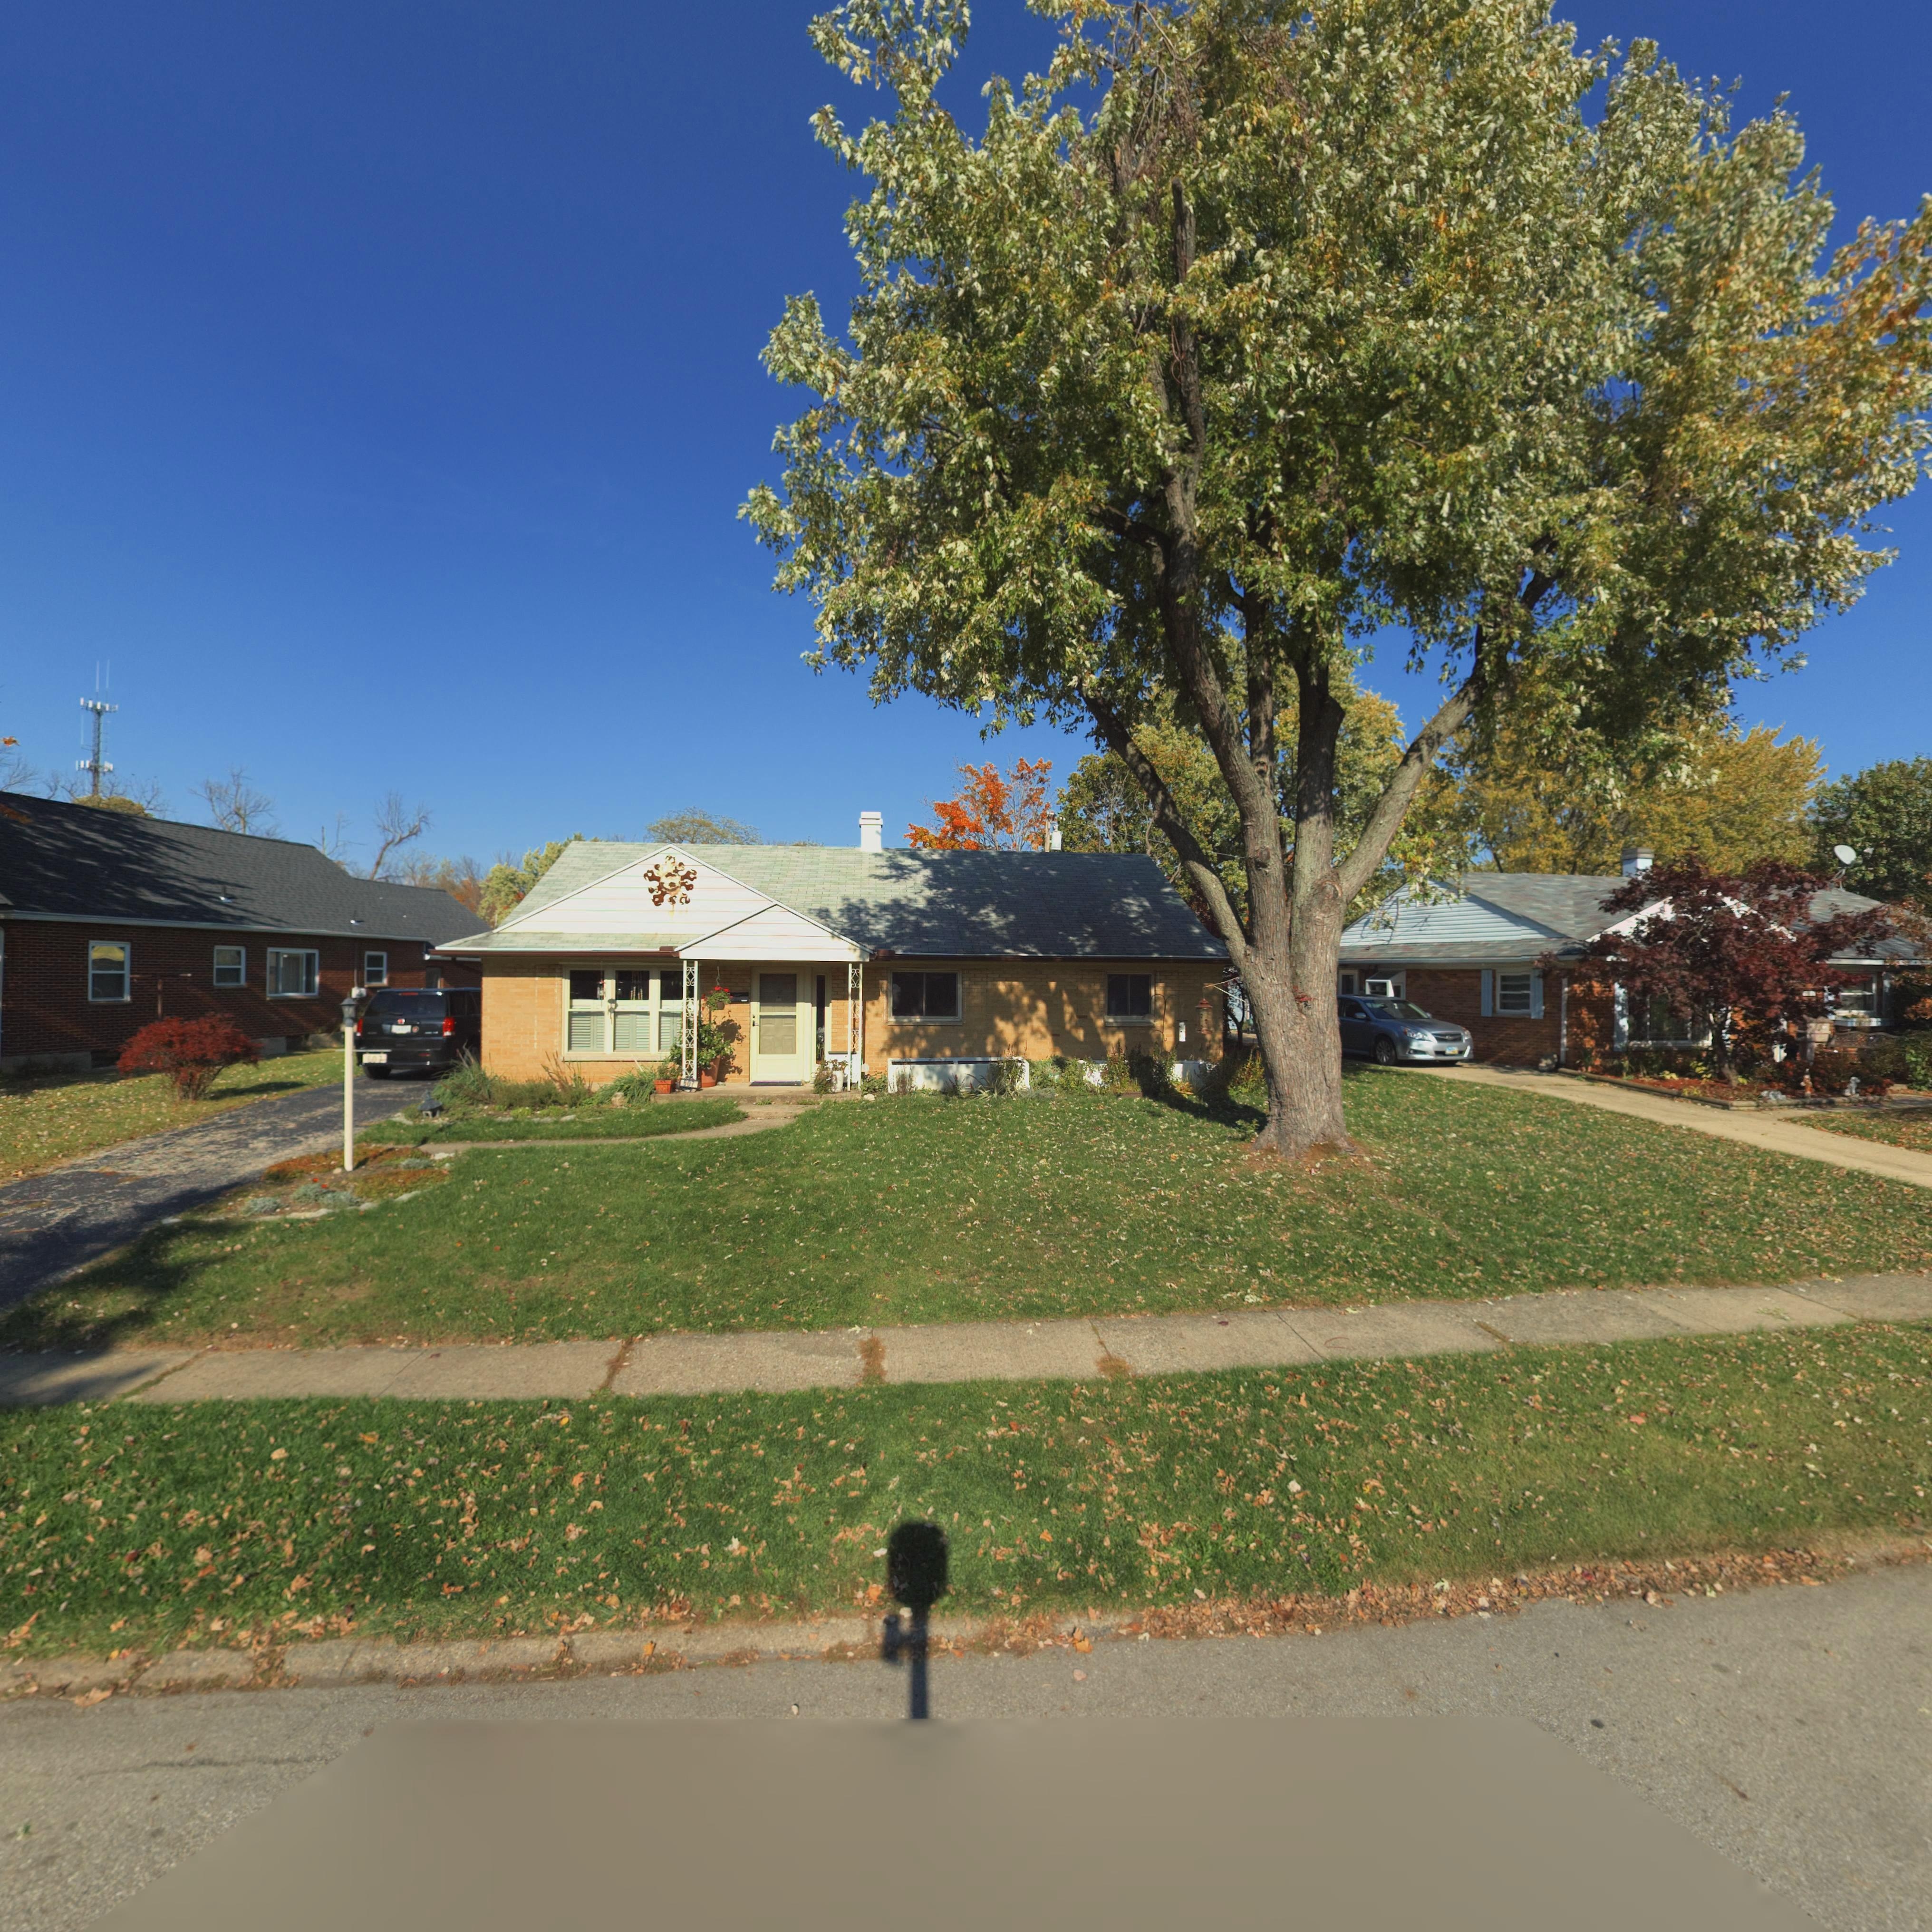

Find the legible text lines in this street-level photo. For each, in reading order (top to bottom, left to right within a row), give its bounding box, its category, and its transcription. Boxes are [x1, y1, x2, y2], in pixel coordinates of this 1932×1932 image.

[366, 1055, 382, 1063] StreetNumber: 607
[682, 1079, 695, 1088] StreetNumber: 607